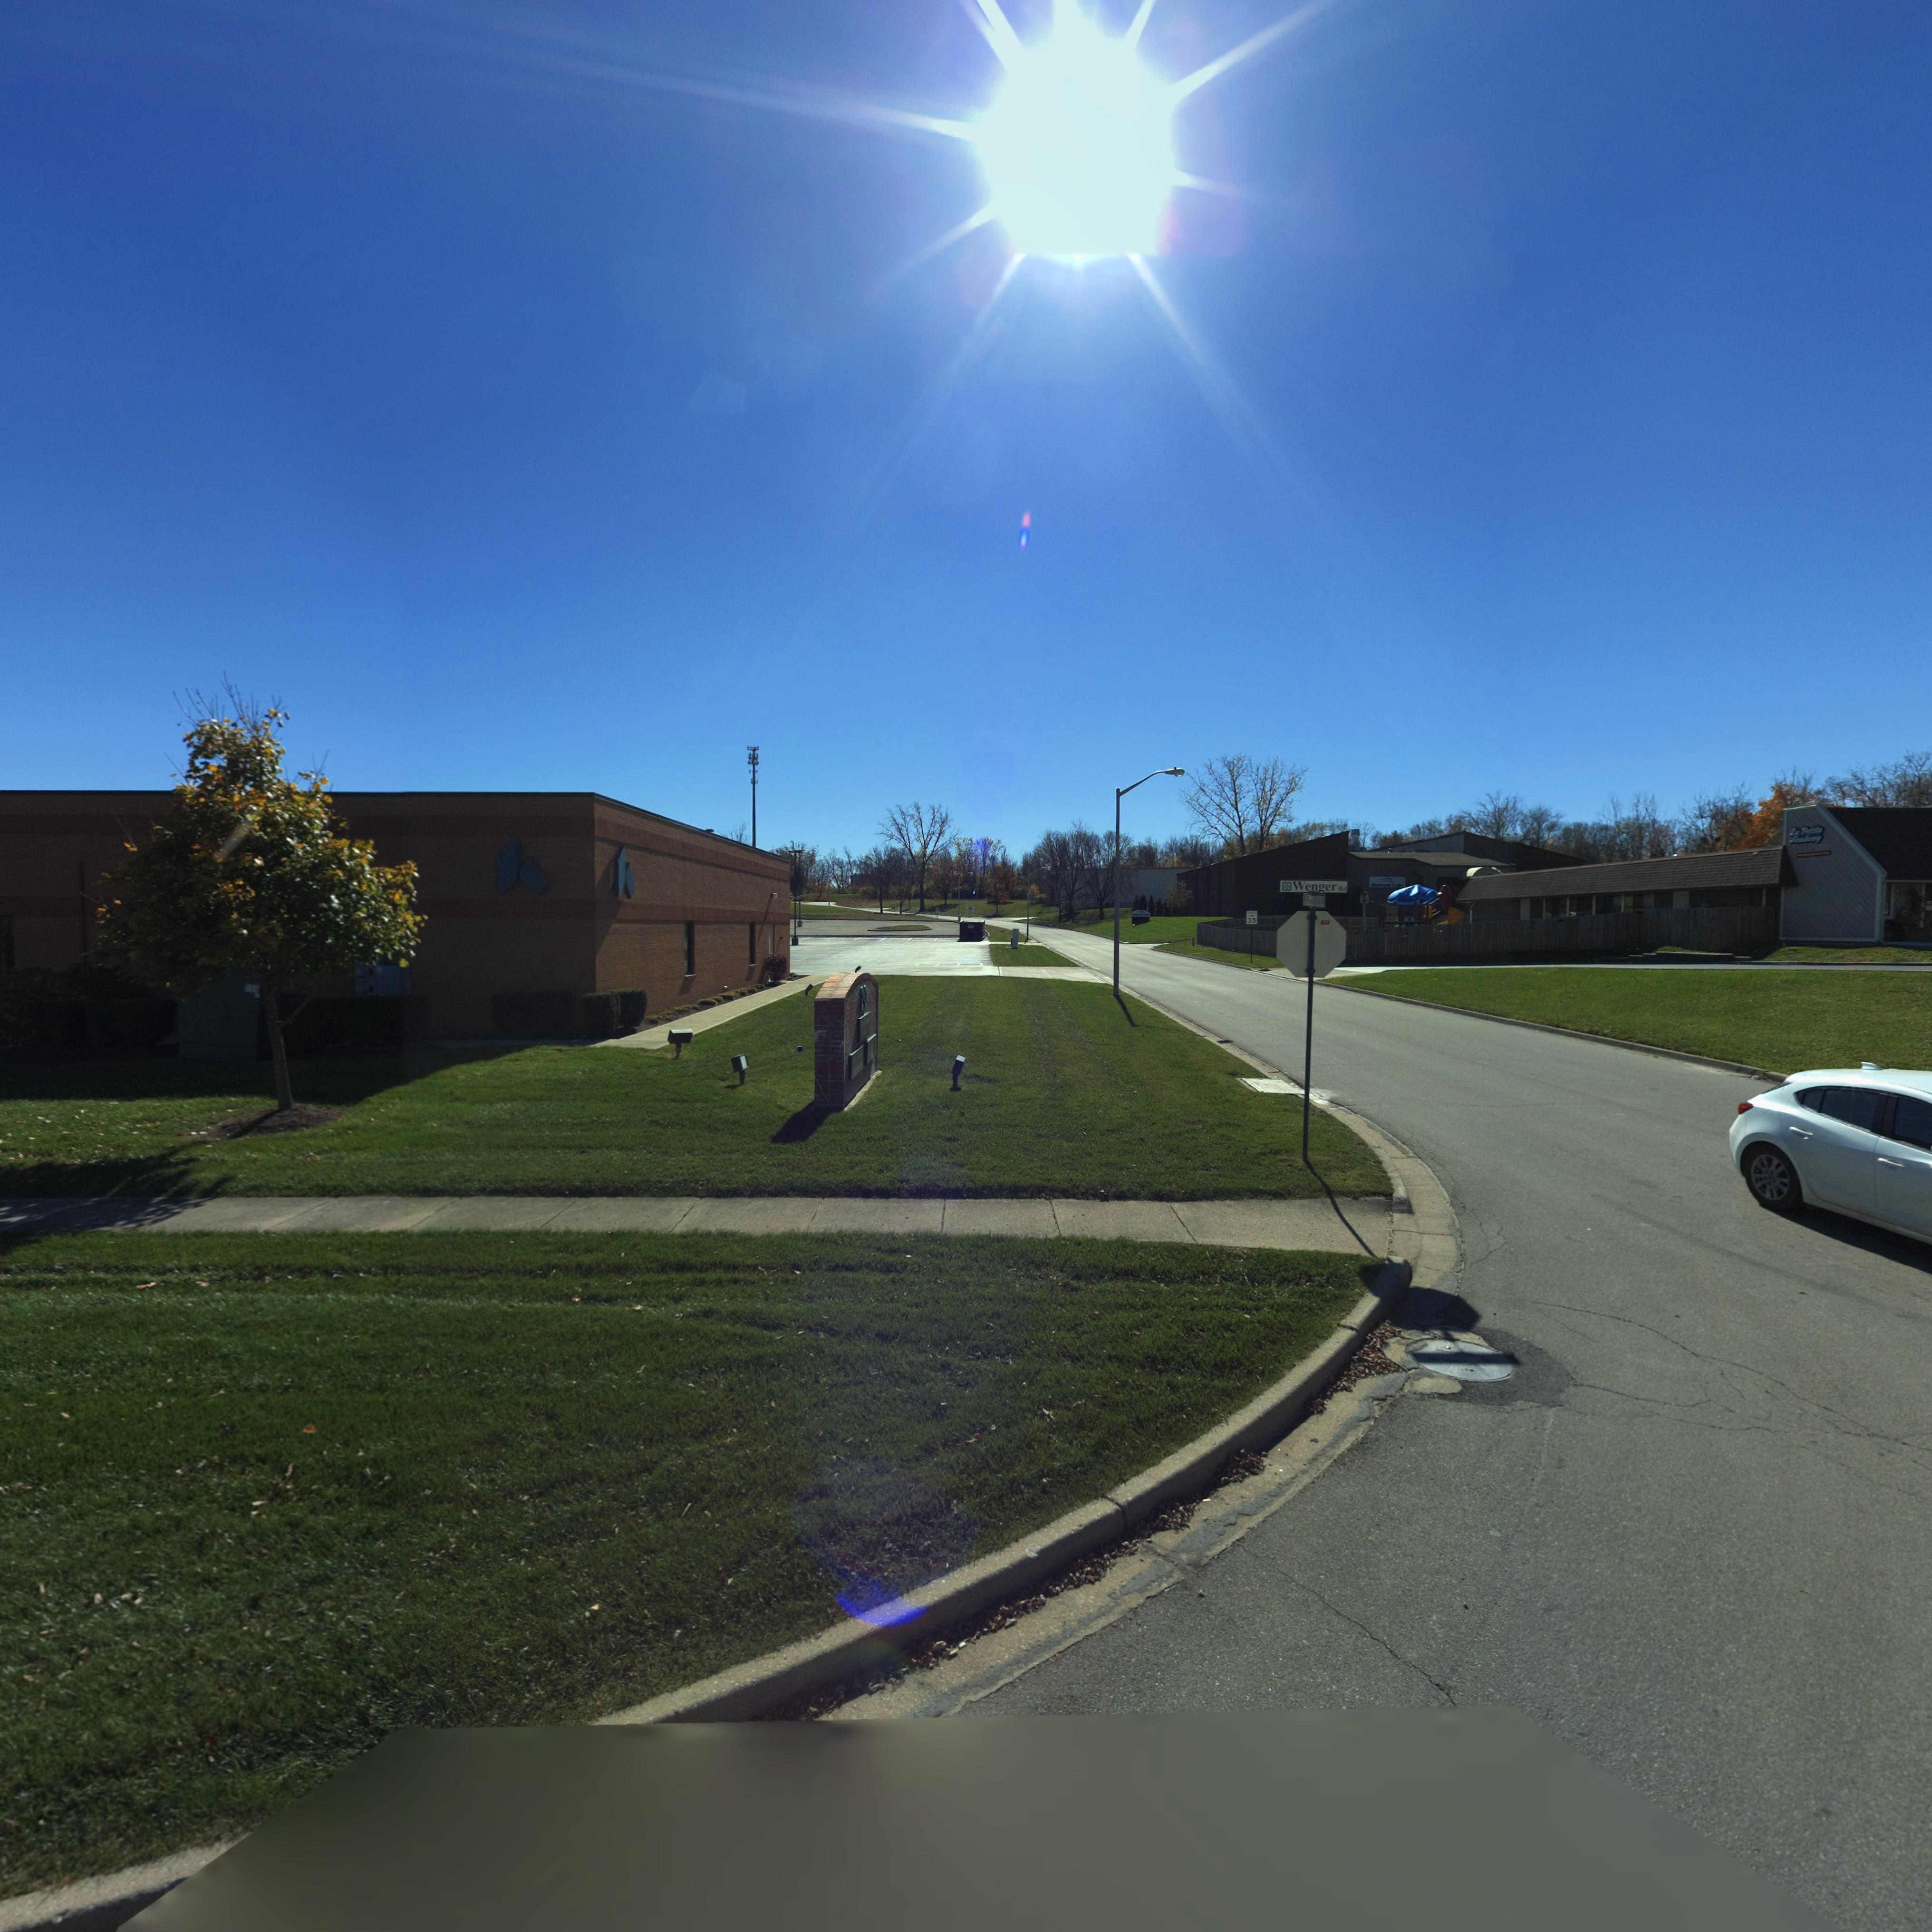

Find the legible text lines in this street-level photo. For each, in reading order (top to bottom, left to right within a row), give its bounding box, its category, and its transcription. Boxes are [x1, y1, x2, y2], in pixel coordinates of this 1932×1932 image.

[1788, 825, 1825, 837] BusinessName: La Petite
[1787, 834, 1824, 844] BusinessName: Academy
[1292, 880, 1348, 894] StreetName: Wenger Rd
[860, 984, 868, 1012] StreetNumber: 20